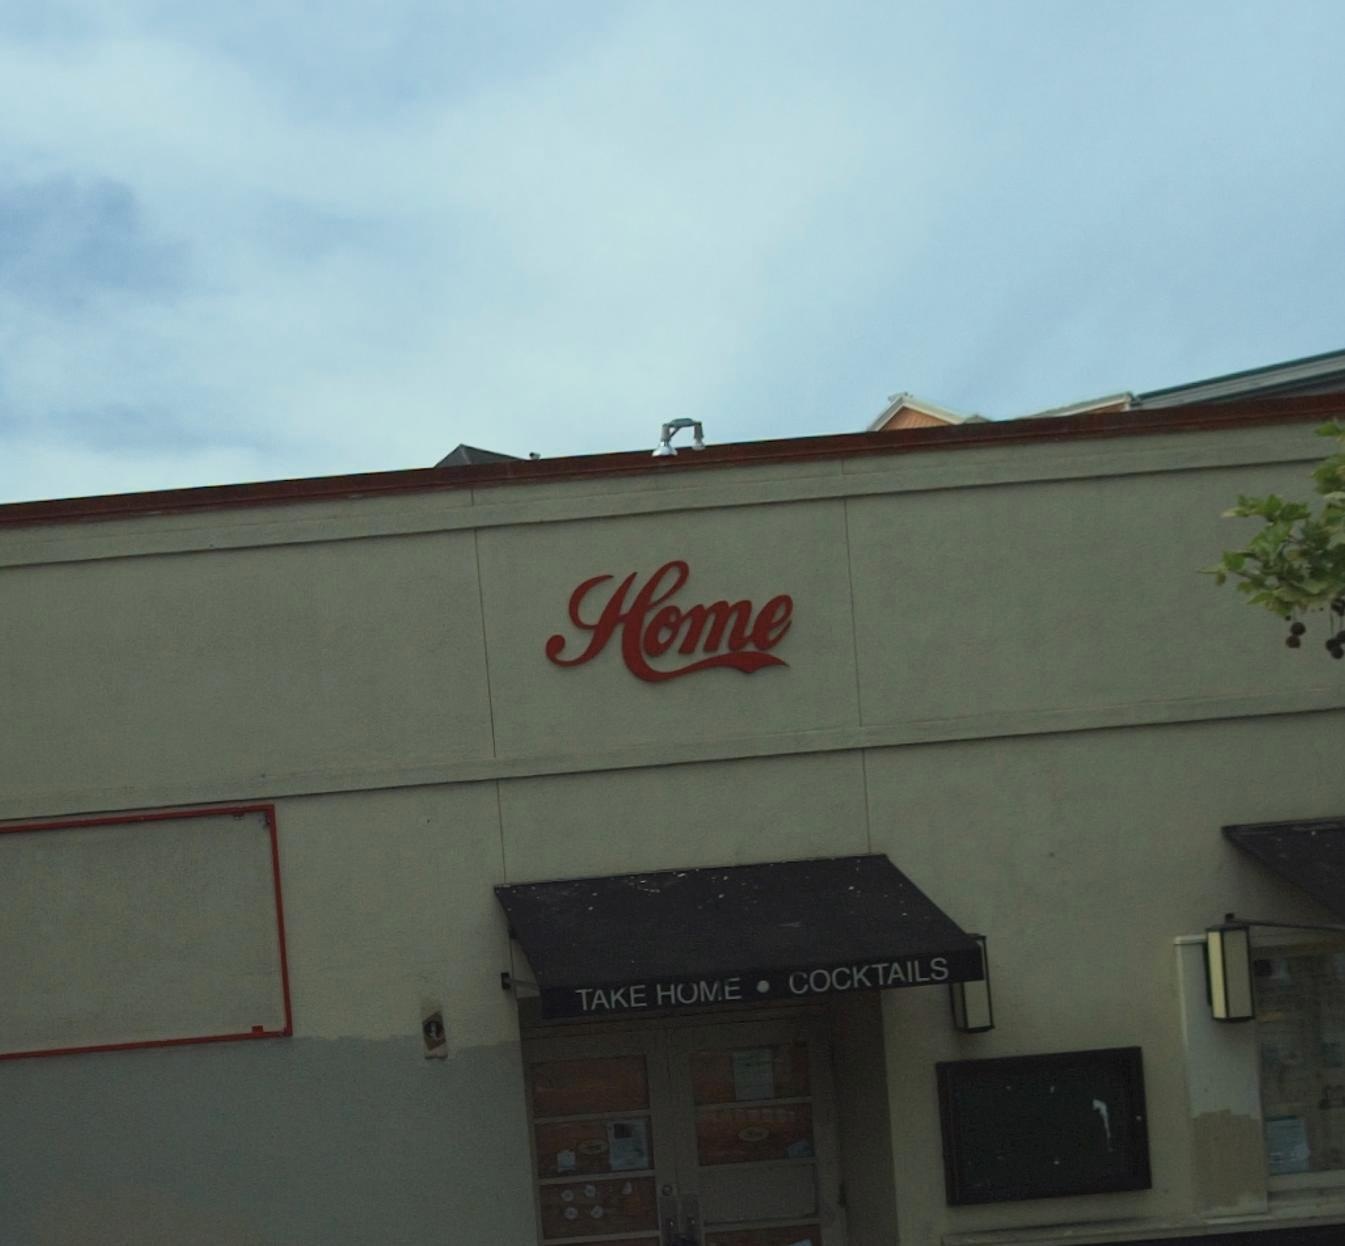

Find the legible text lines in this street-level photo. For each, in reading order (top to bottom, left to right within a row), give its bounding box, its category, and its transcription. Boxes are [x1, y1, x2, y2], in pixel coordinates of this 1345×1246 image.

[542, 557, 797, 686] None: Home
[570, 953, 953, 1015] None: TAKE HOME * COCKTAILS